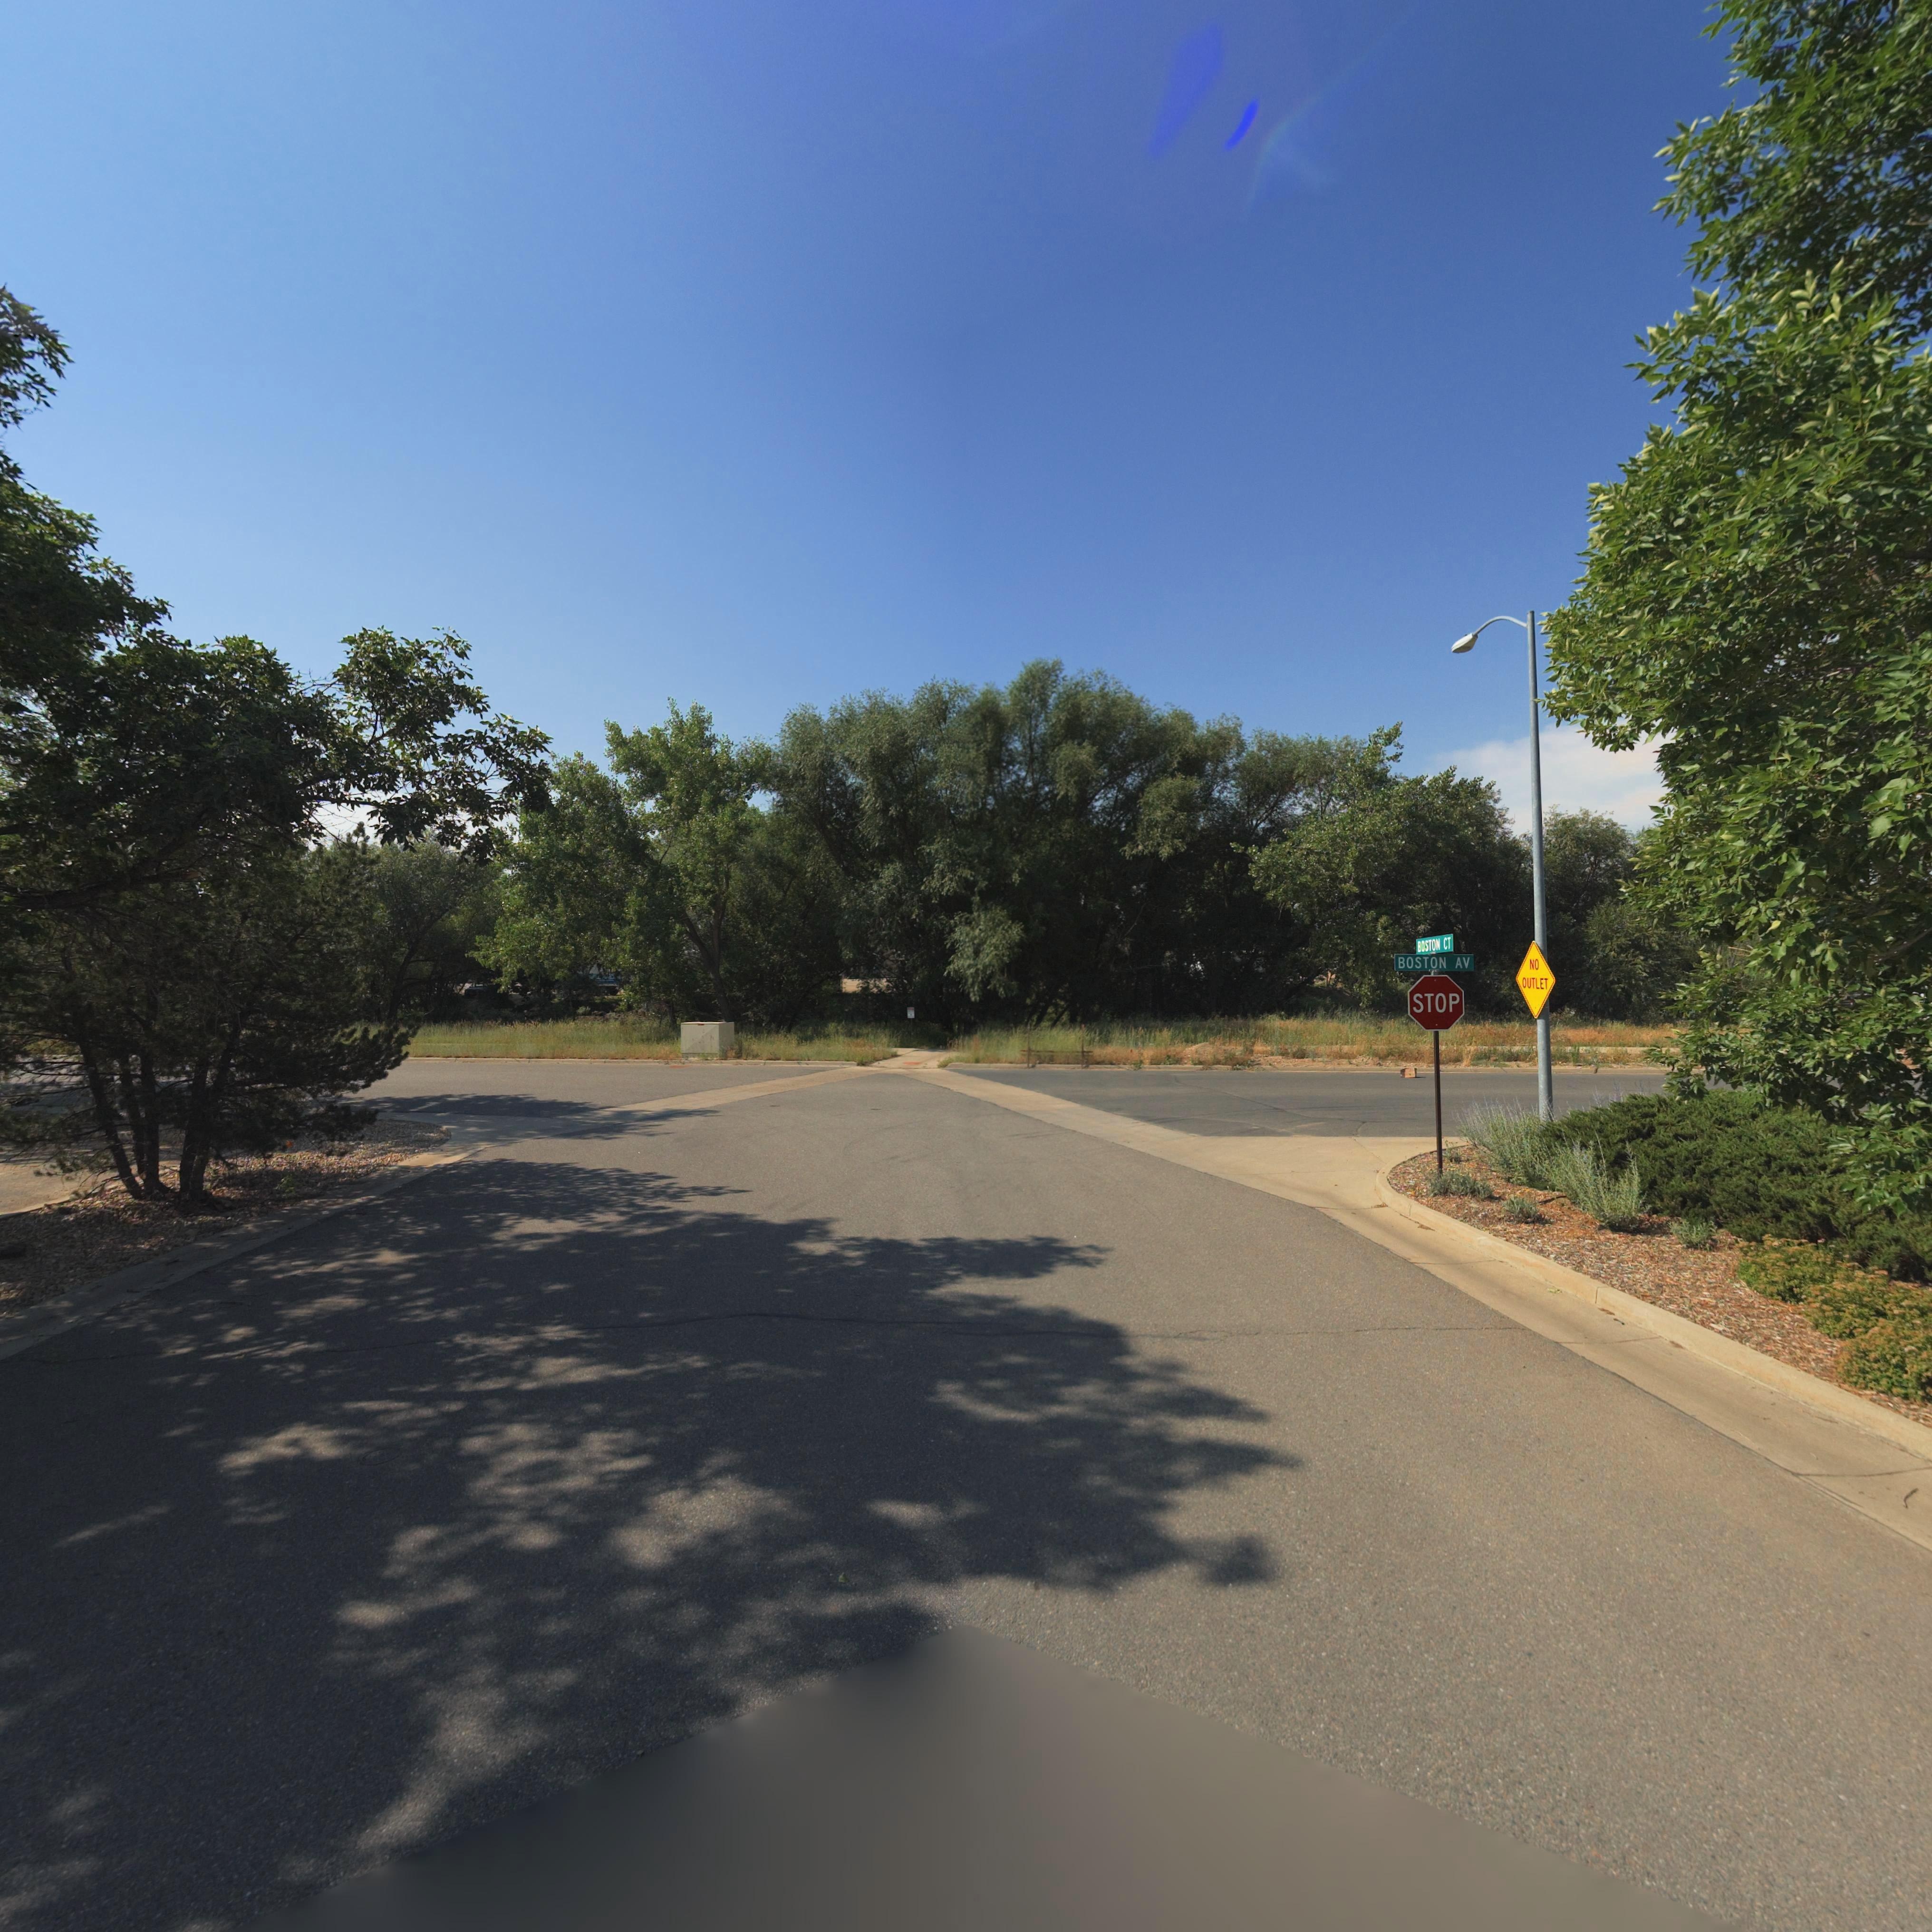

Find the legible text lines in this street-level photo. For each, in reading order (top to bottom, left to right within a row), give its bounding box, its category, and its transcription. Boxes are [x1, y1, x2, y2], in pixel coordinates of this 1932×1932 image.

[1417, 936, 1451, 953] StreetName: BOSTON CT
[1398, 956, 1470, 969] StreetName: BOSTON AV